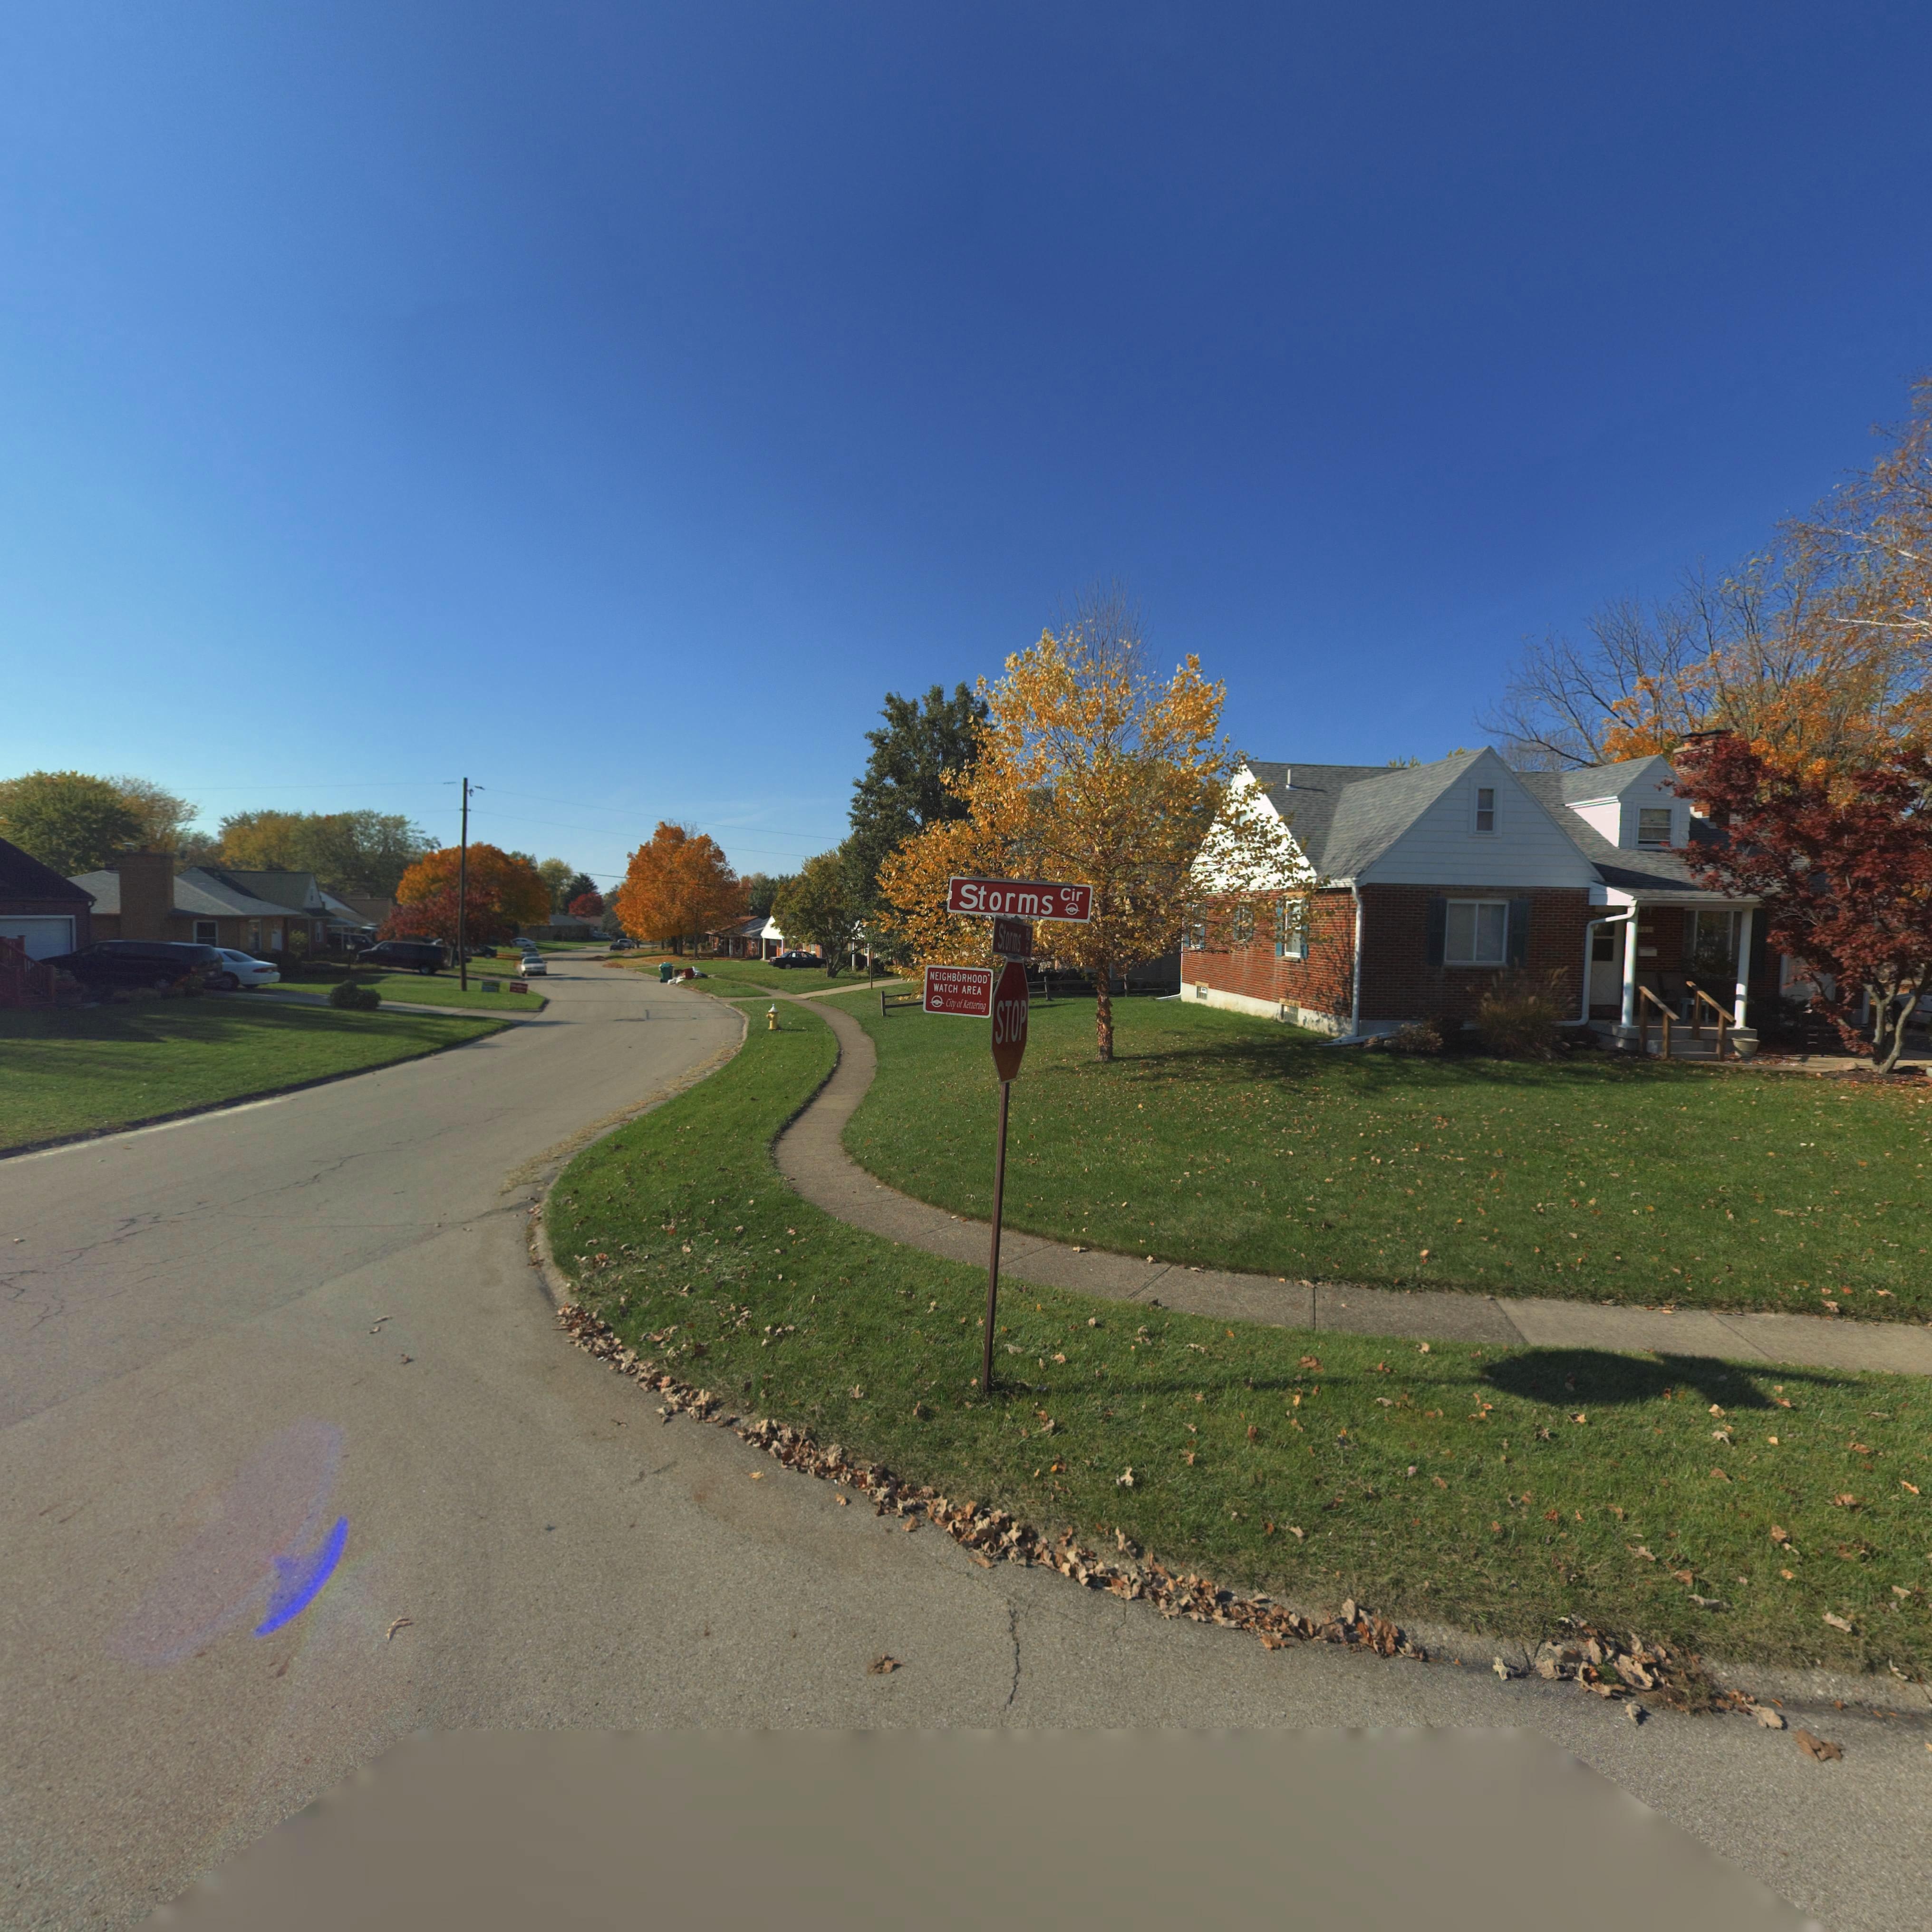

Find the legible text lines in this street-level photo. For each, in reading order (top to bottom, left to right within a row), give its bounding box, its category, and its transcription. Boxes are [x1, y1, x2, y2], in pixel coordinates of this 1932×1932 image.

[958, 883, 1083, 916] StreetName: Storms Cir
[1637, 927, 1652, 932] StreetNumber: *0*
[996, 922, 1031, 954] StreetName: Storms Rd
[929, 971, 988, 984] None: NEIGHBORHOOD
[933, 983, 982, 995] None: WATCH AREA
[946, 998, 987, 1013] None: City of Kettering
[995, 1000, 1027, 1045] None: STOP